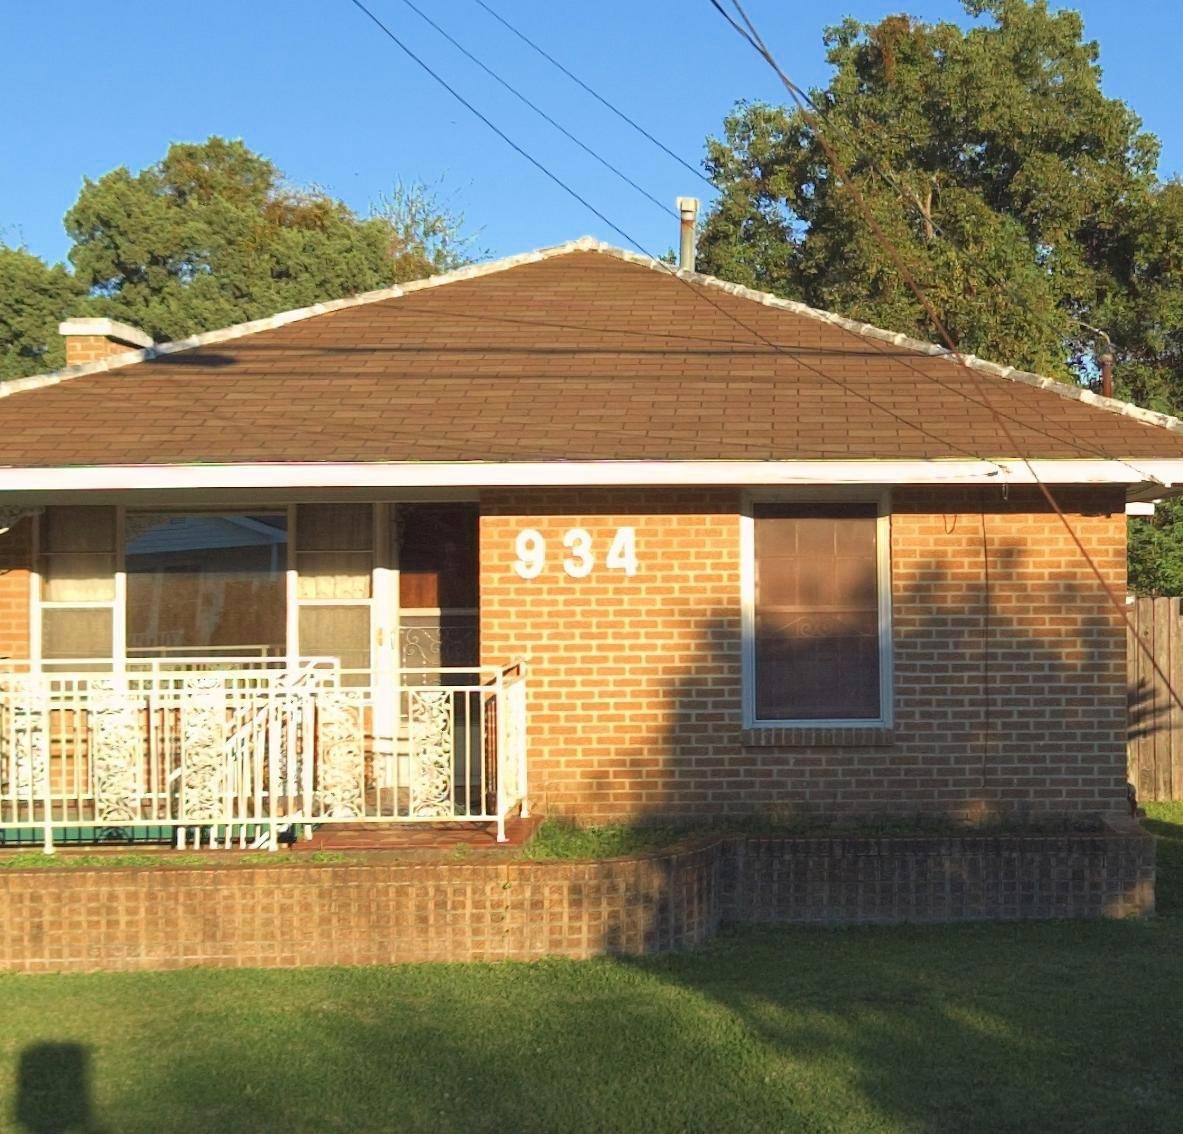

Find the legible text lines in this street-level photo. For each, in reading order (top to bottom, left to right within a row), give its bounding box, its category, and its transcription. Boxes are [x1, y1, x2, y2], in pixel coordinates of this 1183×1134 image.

[509, 523, 645, 583] StreetNumber: 934